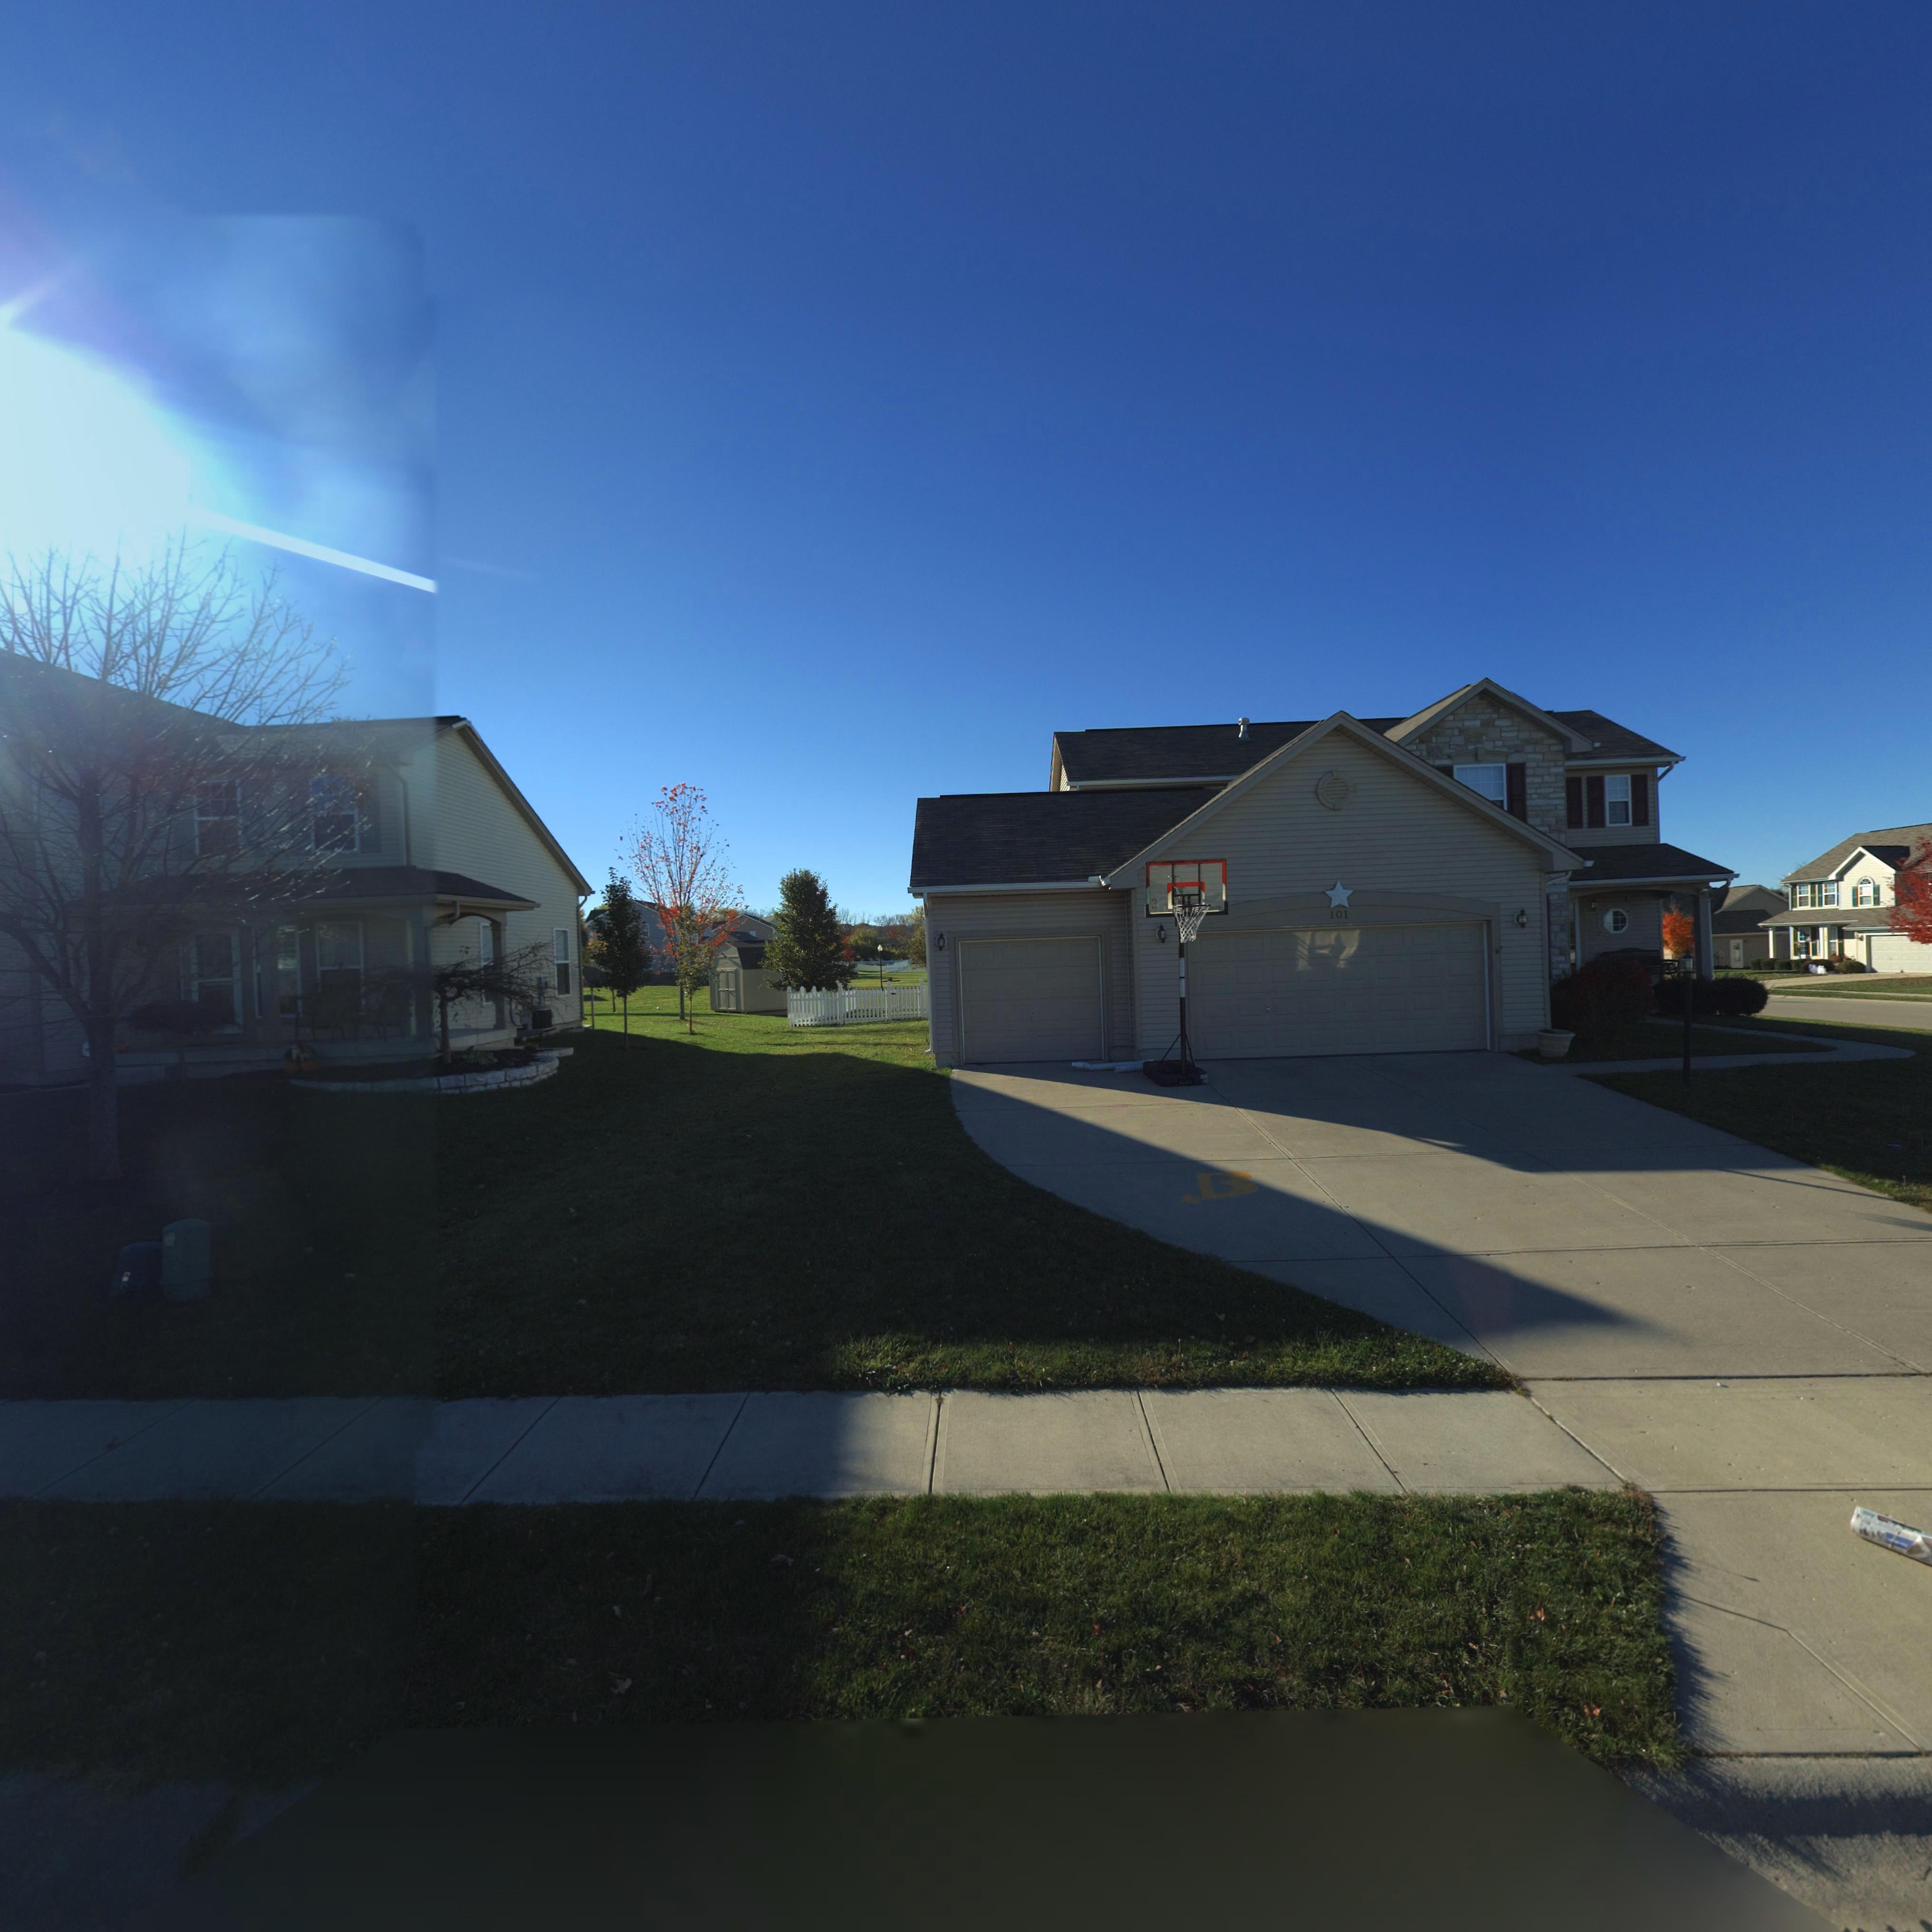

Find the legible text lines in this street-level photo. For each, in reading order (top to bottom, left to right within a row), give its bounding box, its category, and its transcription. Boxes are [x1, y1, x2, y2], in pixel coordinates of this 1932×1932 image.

[1330, 909, 1349, 920] StreetNumber: 101